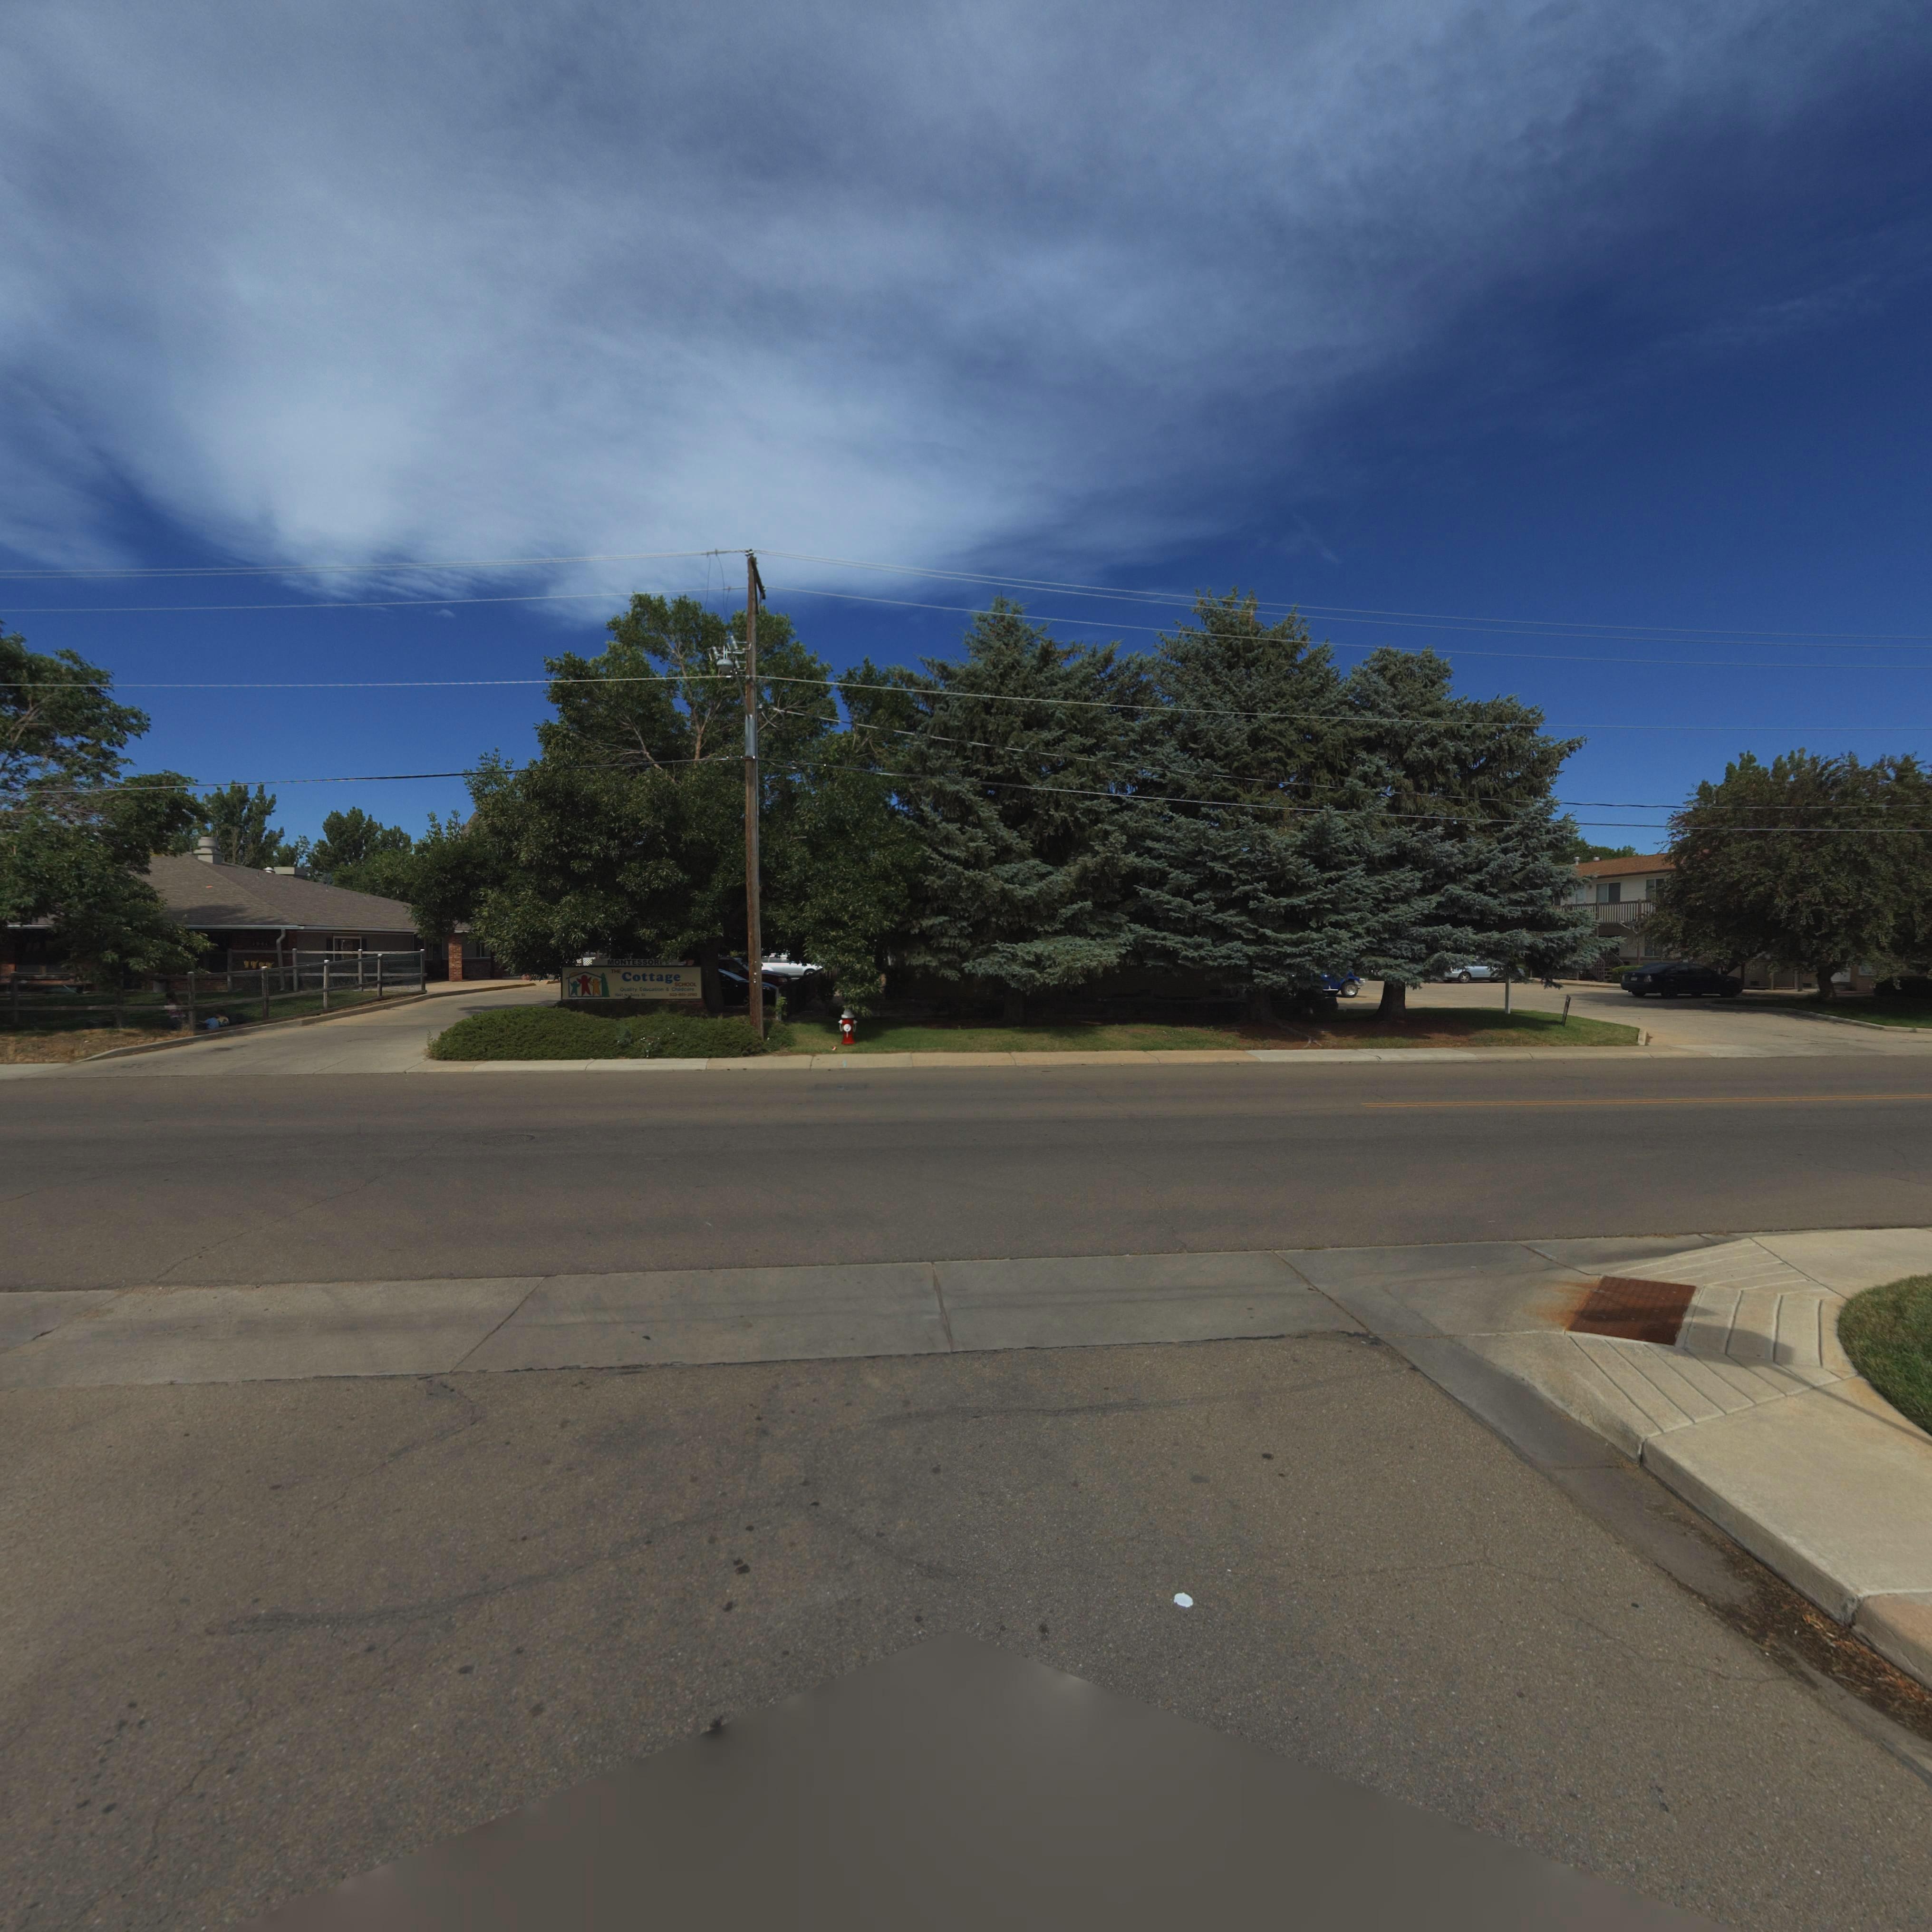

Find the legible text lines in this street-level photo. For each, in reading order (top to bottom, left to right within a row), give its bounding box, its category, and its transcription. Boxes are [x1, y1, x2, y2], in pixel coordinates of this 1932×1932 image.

[251, 940, 268, 946] StreetNumber: 1941
[610, 968, 621, 974] BusinessName: THE
[621, 971, 680, 984] BusinessName: Cottage
[674, 982, 696, 987] BusinessName: SCHOOL